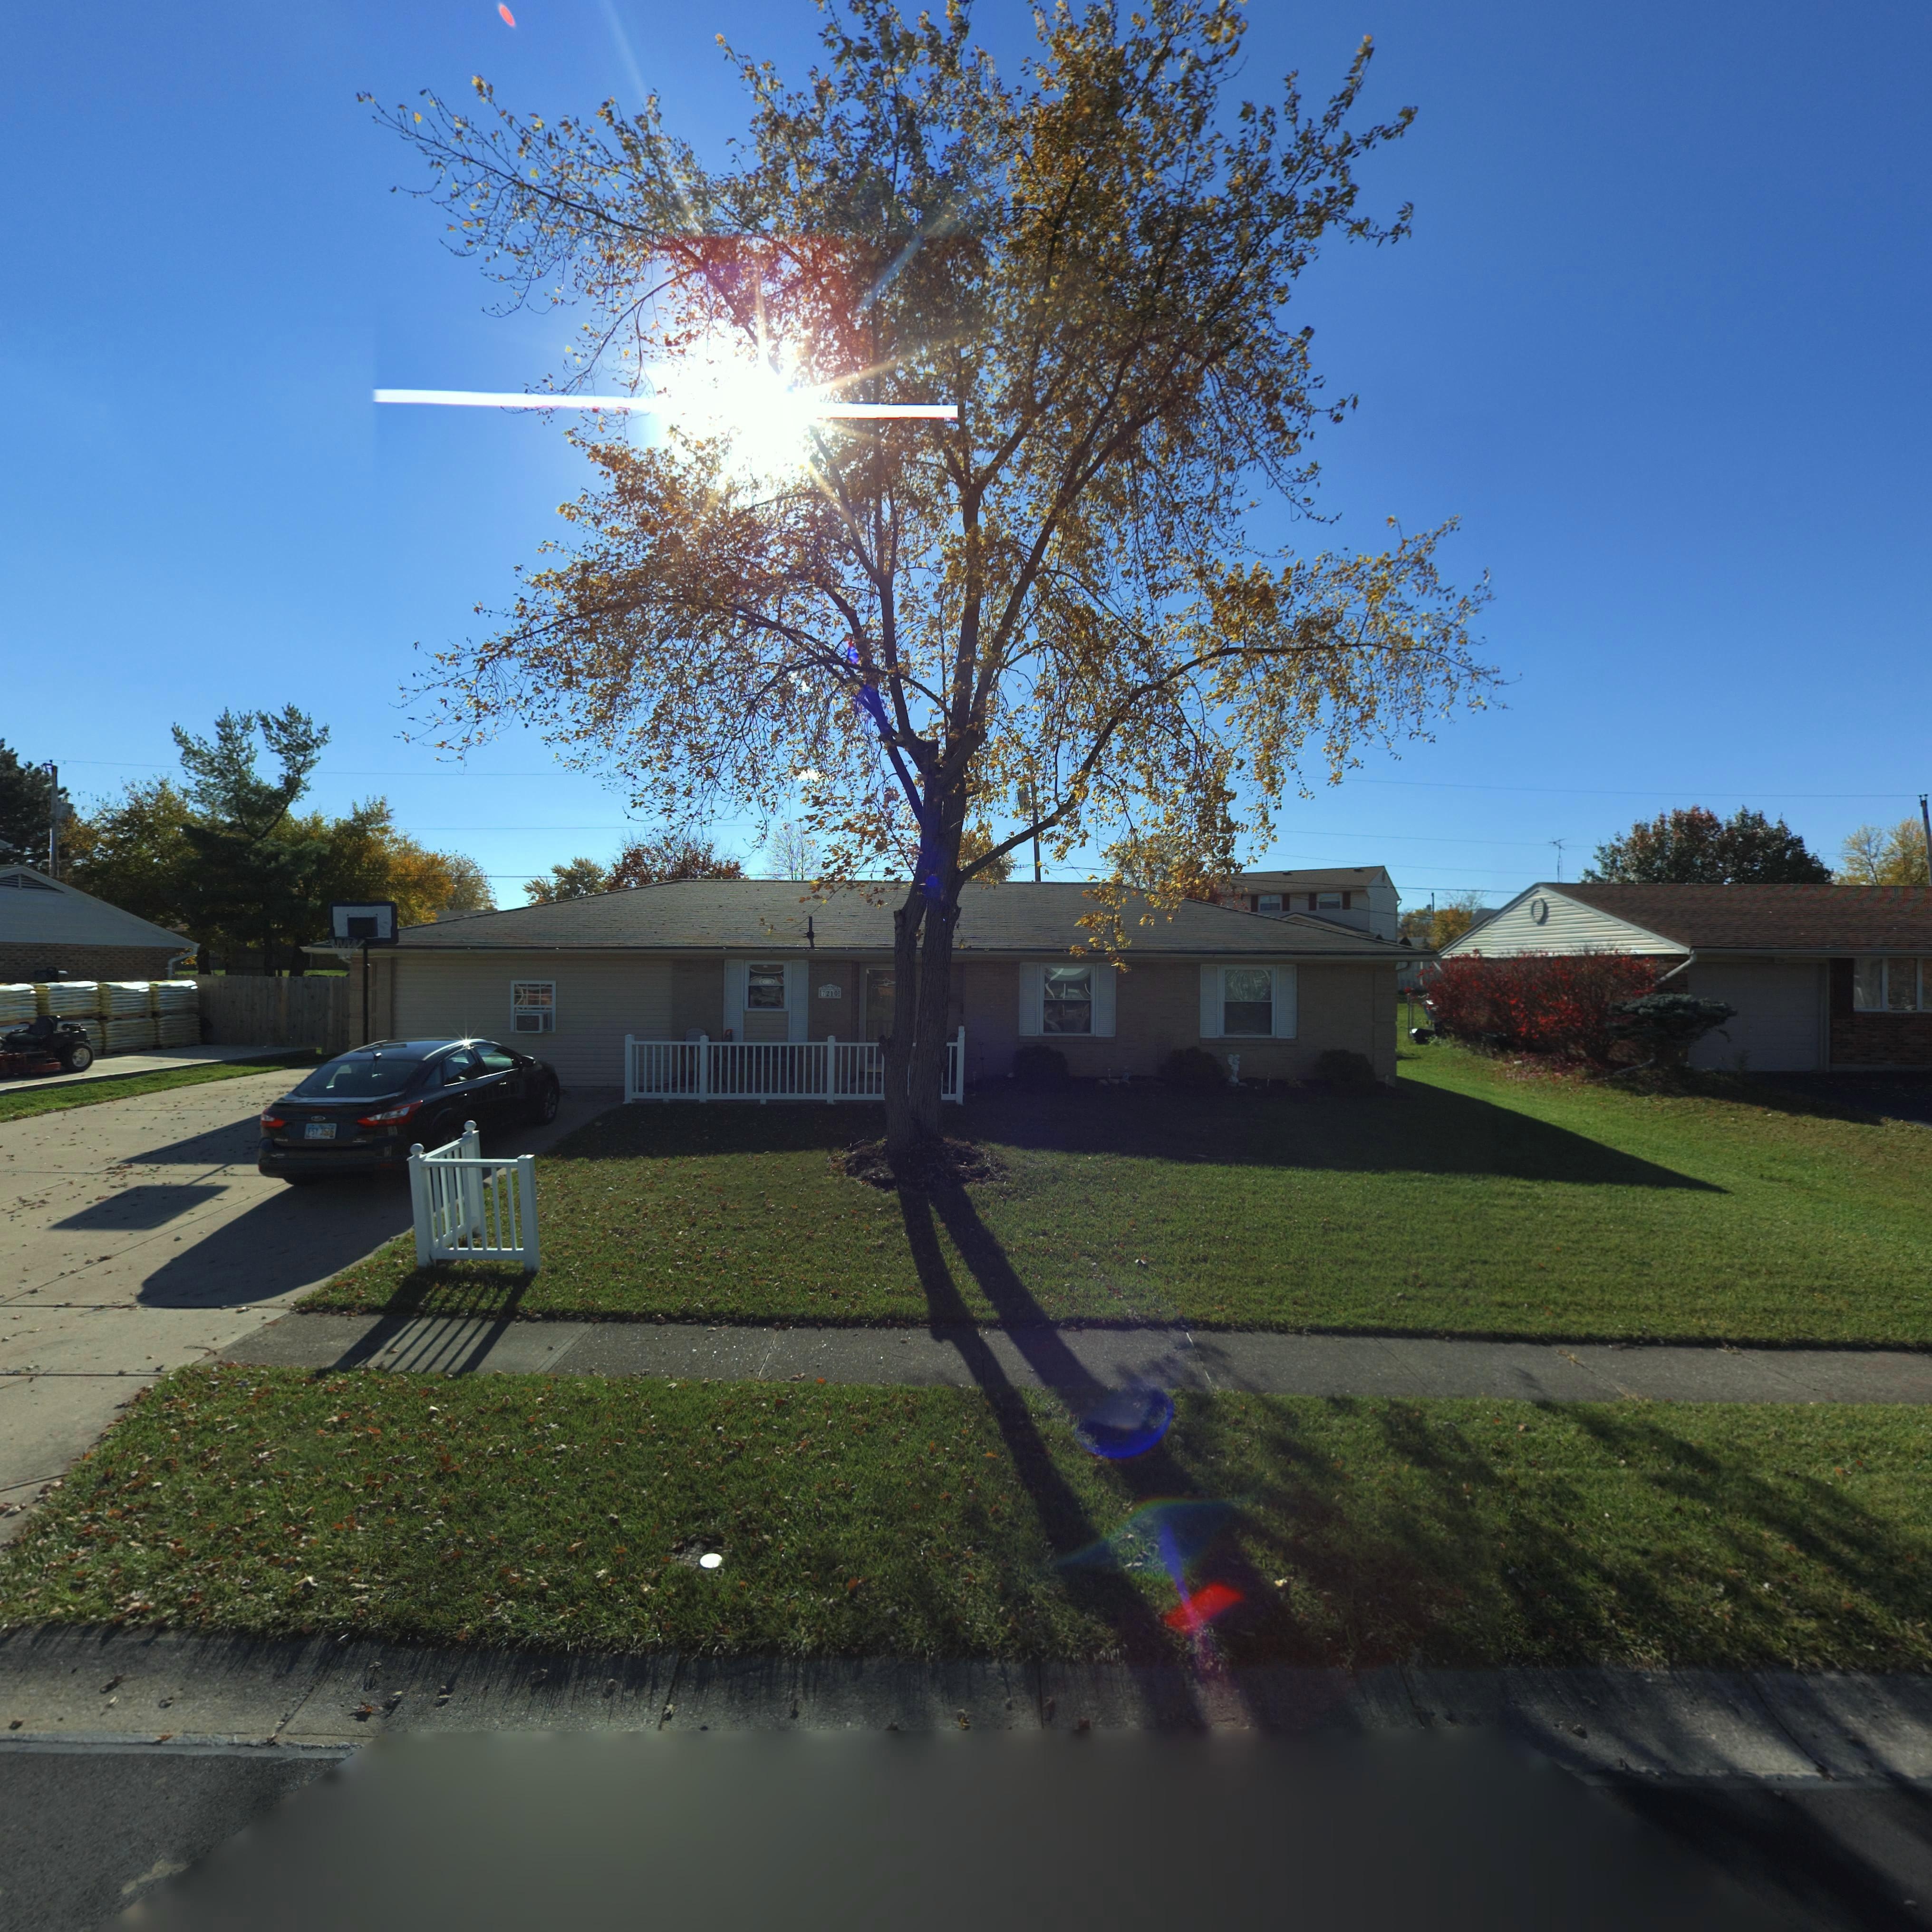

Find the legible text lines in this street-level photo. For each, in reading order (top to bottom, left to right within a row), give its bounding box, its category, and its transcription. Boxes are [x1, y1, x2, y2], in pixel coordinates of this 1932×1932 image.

[821, 990, 838, 997] StreetNumber: 7210